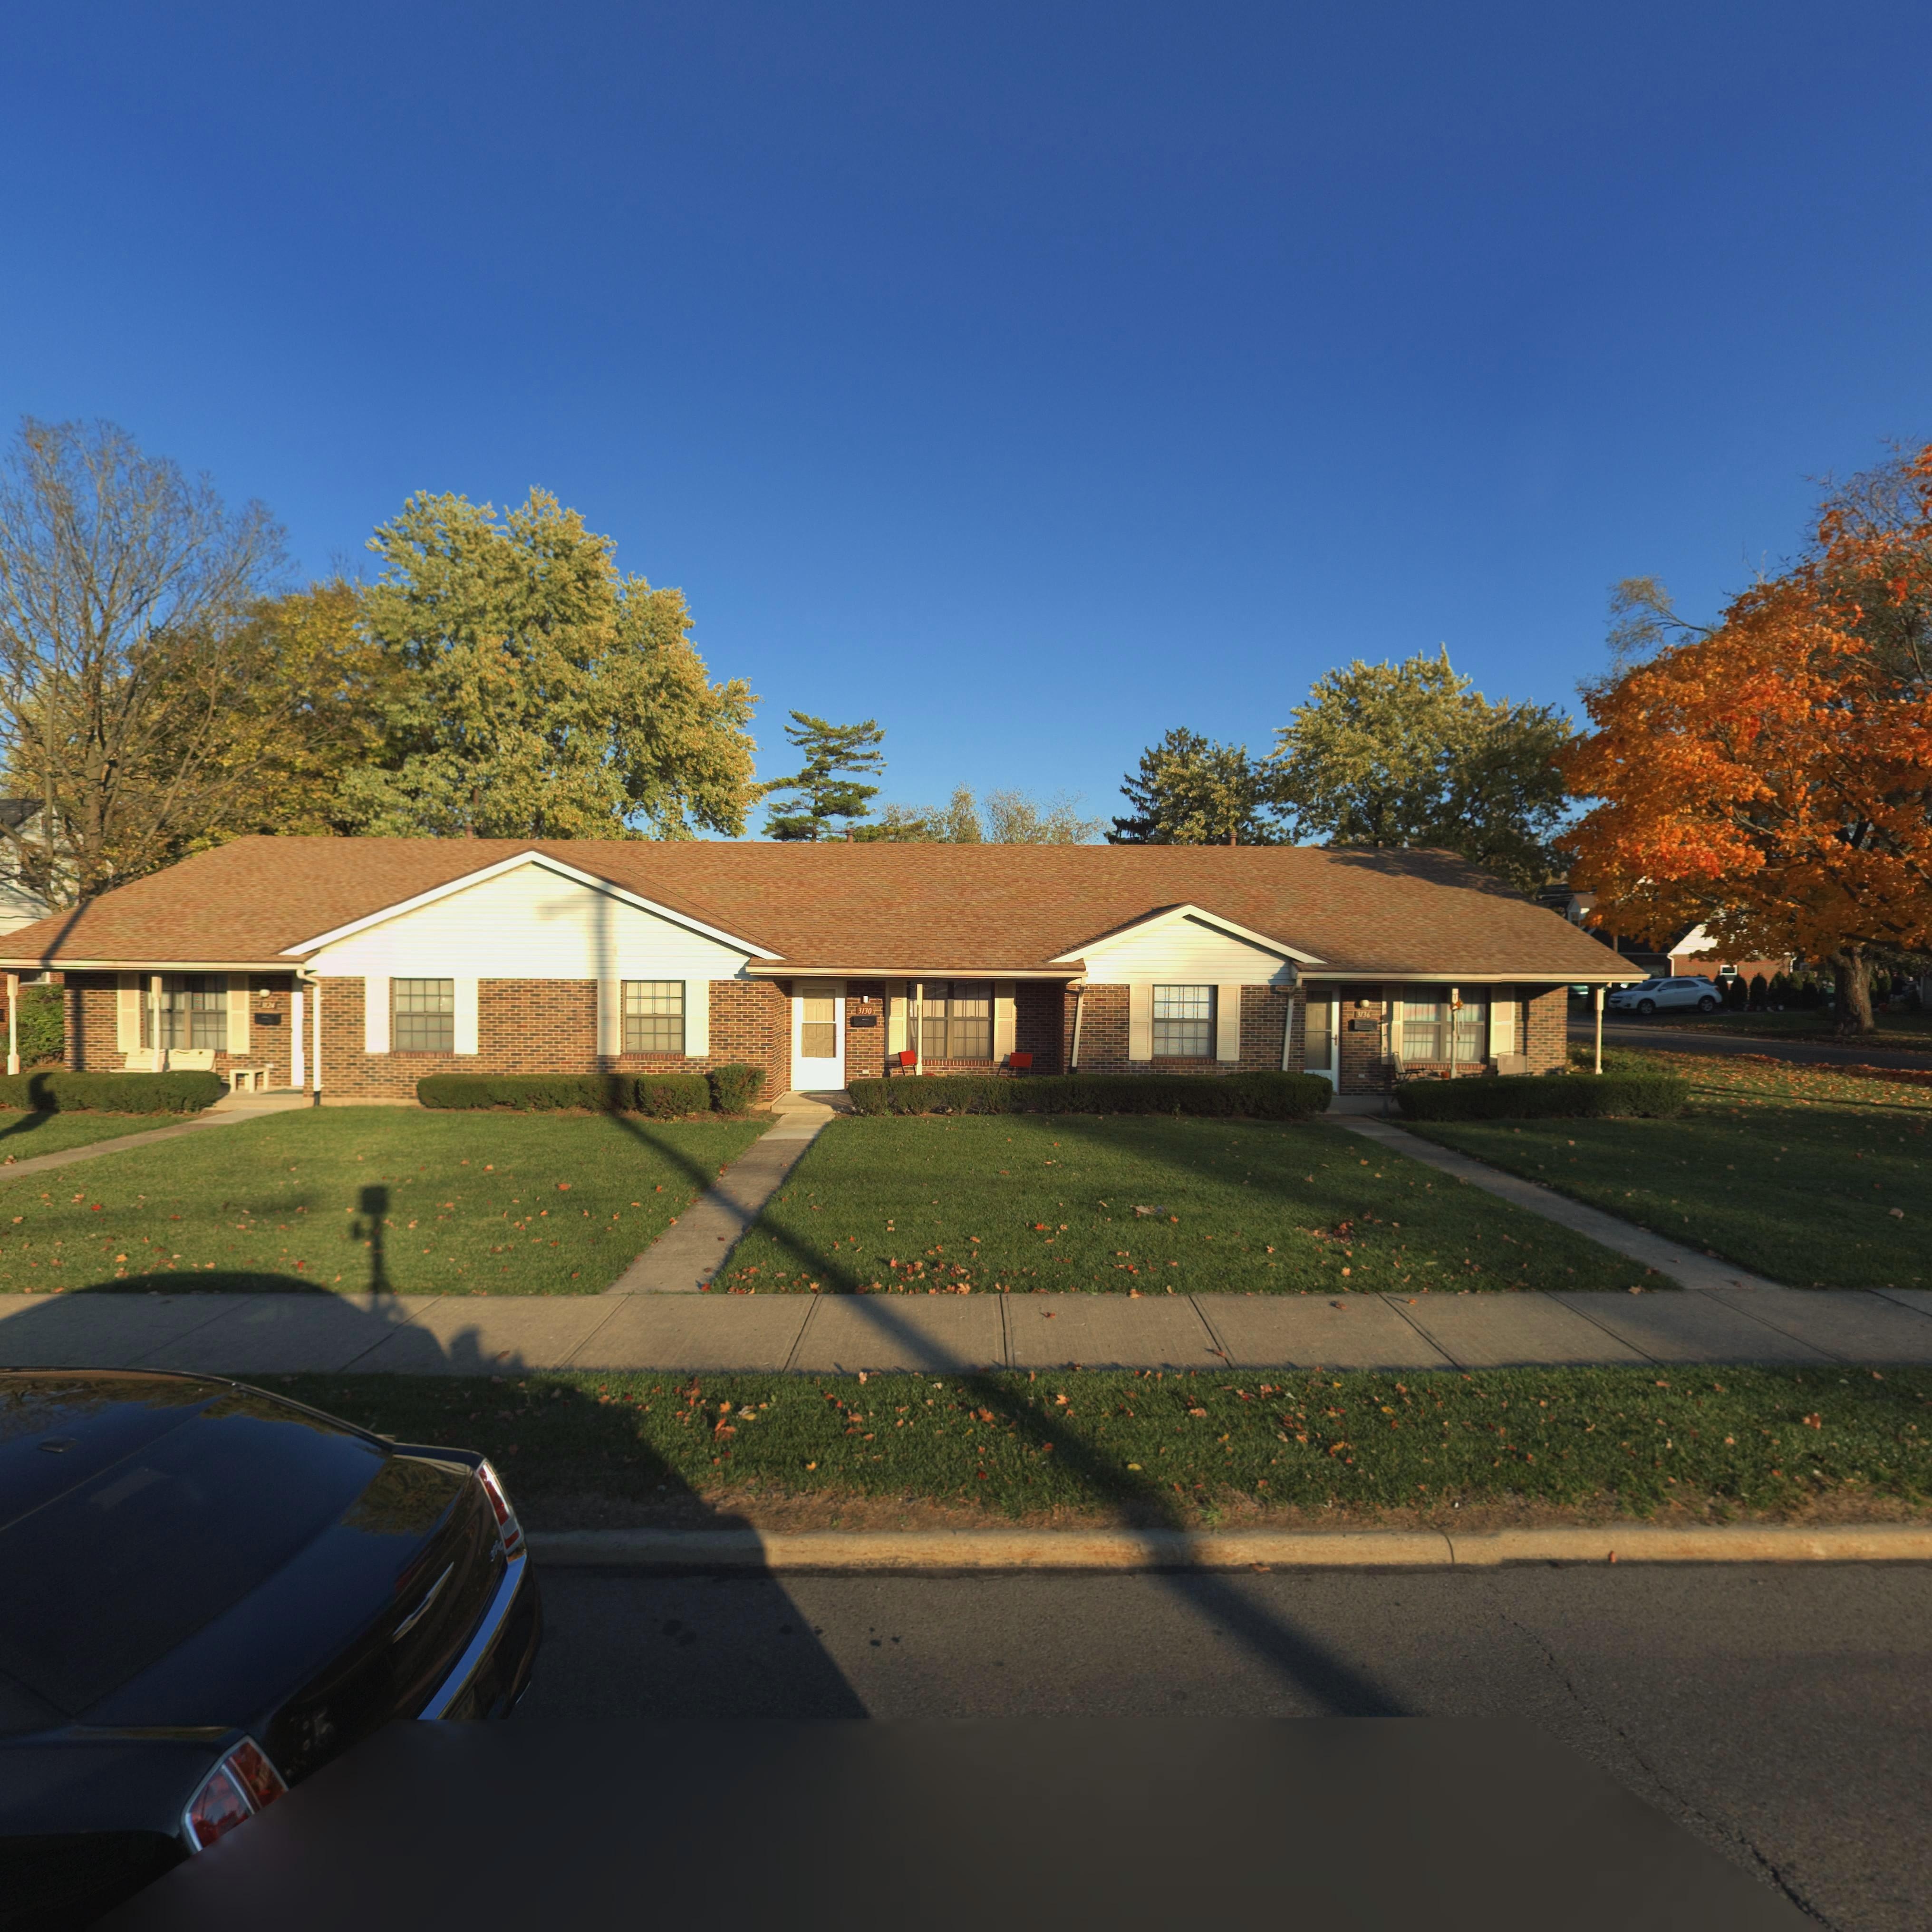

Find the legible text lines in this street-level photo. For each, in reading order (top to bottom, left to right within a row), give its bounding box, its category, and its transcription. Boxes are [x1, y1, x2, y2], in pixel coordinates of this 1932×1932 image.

[260, 1002, 276, 1009] StreetNumber: **24
[858, 1007, 872, 1015] StreetNumber: 3130
[1356, 1010, 1371, 1019] StreetNumber: 3136